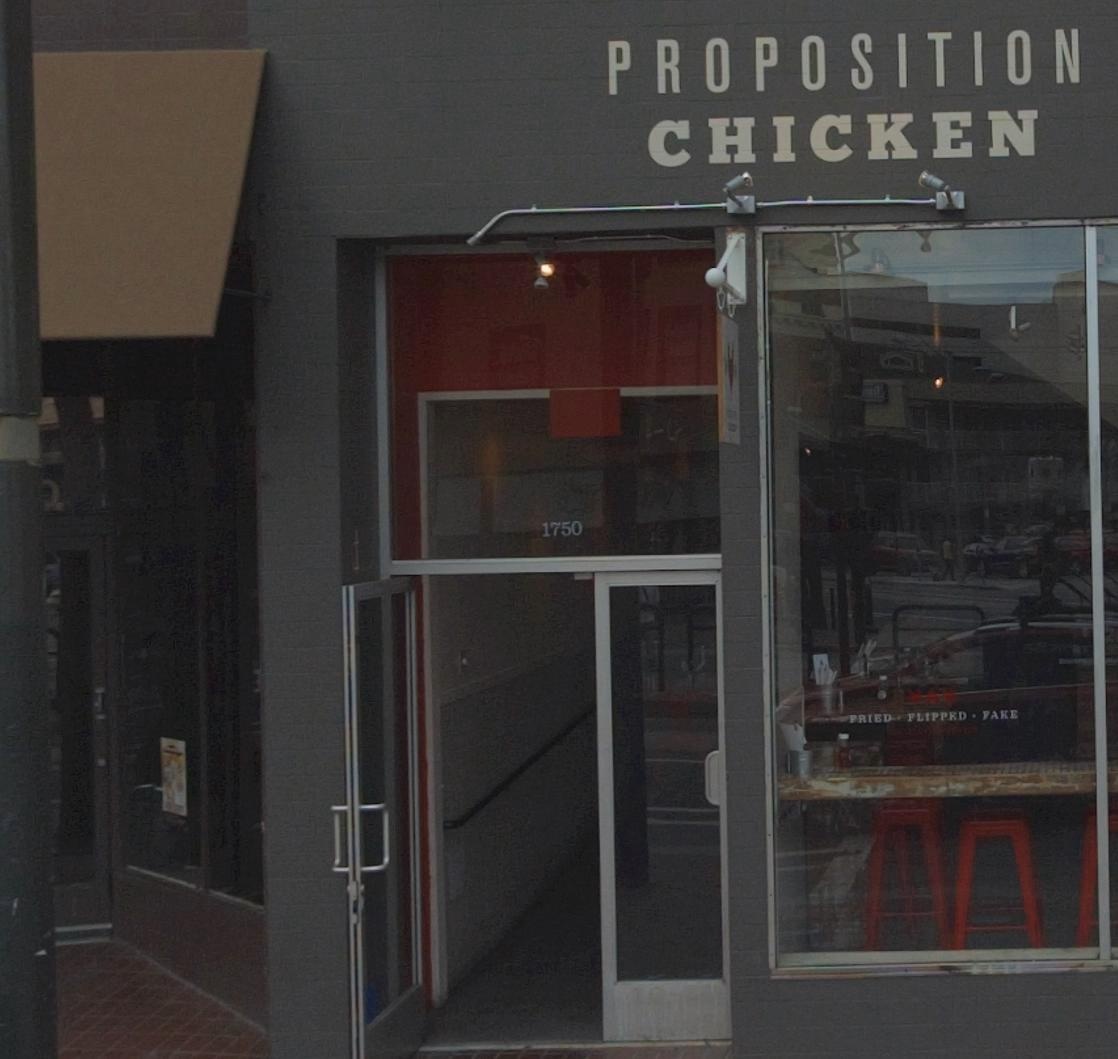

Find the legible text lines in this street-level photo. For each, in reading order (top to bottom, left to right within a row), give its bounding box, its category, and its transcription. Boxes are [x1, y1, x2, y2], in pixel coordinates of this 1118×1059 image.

[606, 26, 1082, 98] BusinessName: PROPOSITION
[643, 106, 1041, 171] BusinessName: CHICKEN
[539, 519, 585, 538] StreetNumber: 1750
[907, 687, 958, 706] BusinessName: VAV
[847, 707, 1019, 726] None: FRIED*FLIPPED*FAKE